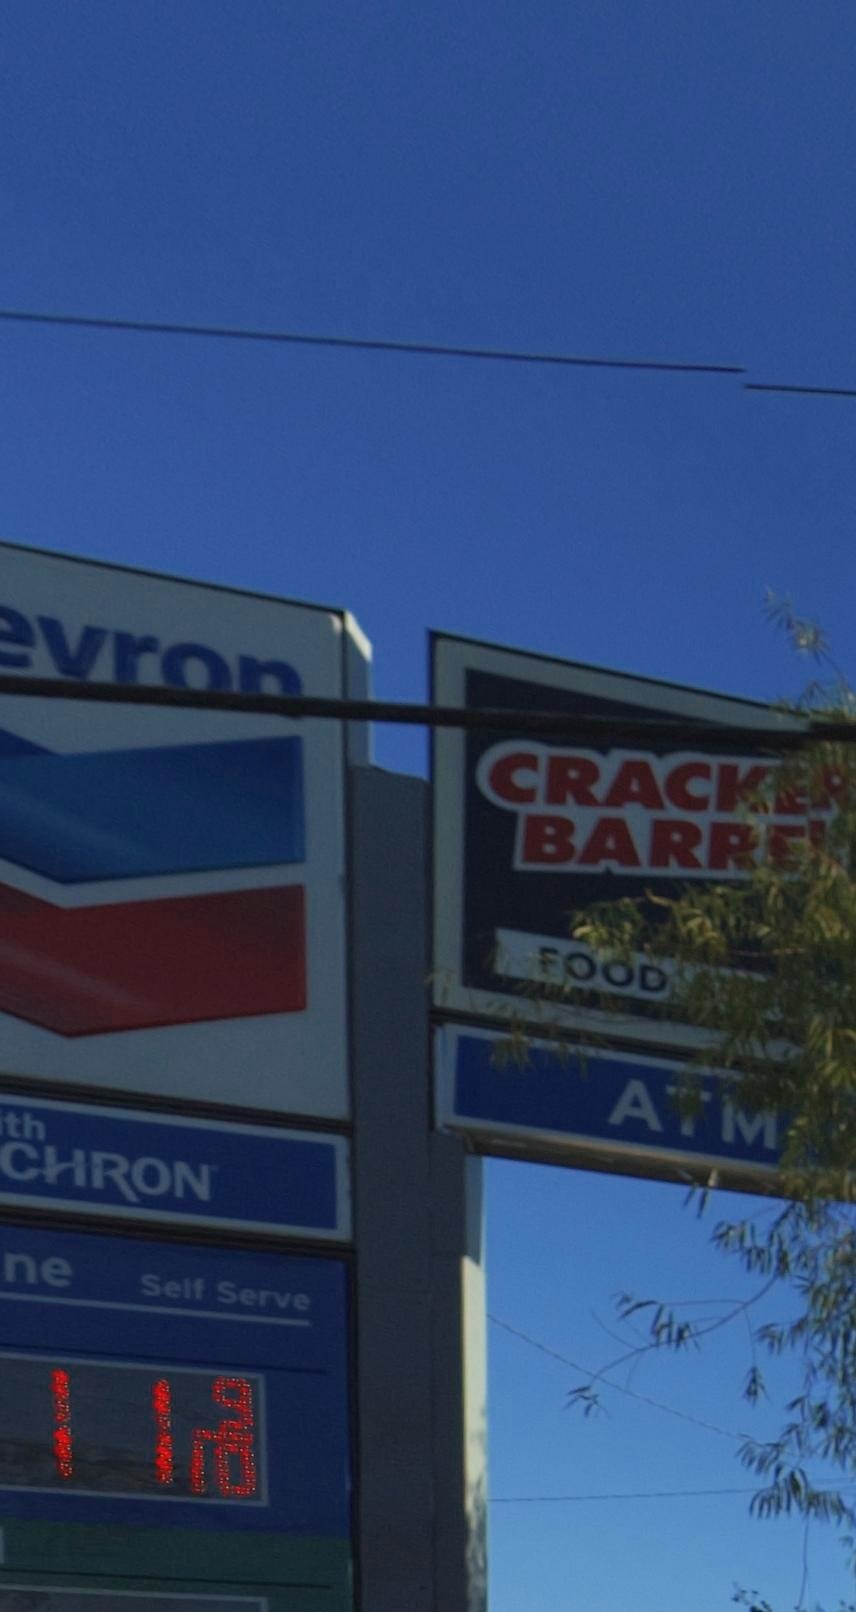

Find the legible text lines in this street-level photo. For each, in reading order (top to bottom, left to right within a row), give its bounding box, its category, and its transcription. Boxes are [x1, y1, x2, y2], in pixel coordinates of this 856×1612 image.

[33, 611, 305, 722] BusinessName: vro*
[478, 745, 856, 817] BusinessName: CRACKE*
[510, 809, 850, 883] BusinessName: BARRE*
[537, 944, 671, 999] None: FOOD
[3, 1107, 50, 1146] None: th
[600, 1075, 784, 1151] None: A*M
[0, 1138, 215, 1206] None: CHRON
[3, 1248, 75, 1293] None: ne
[138, 1271, 314, 1317] None: Self Serve
[48, 1364, 259, 1502] None: 11 9/10